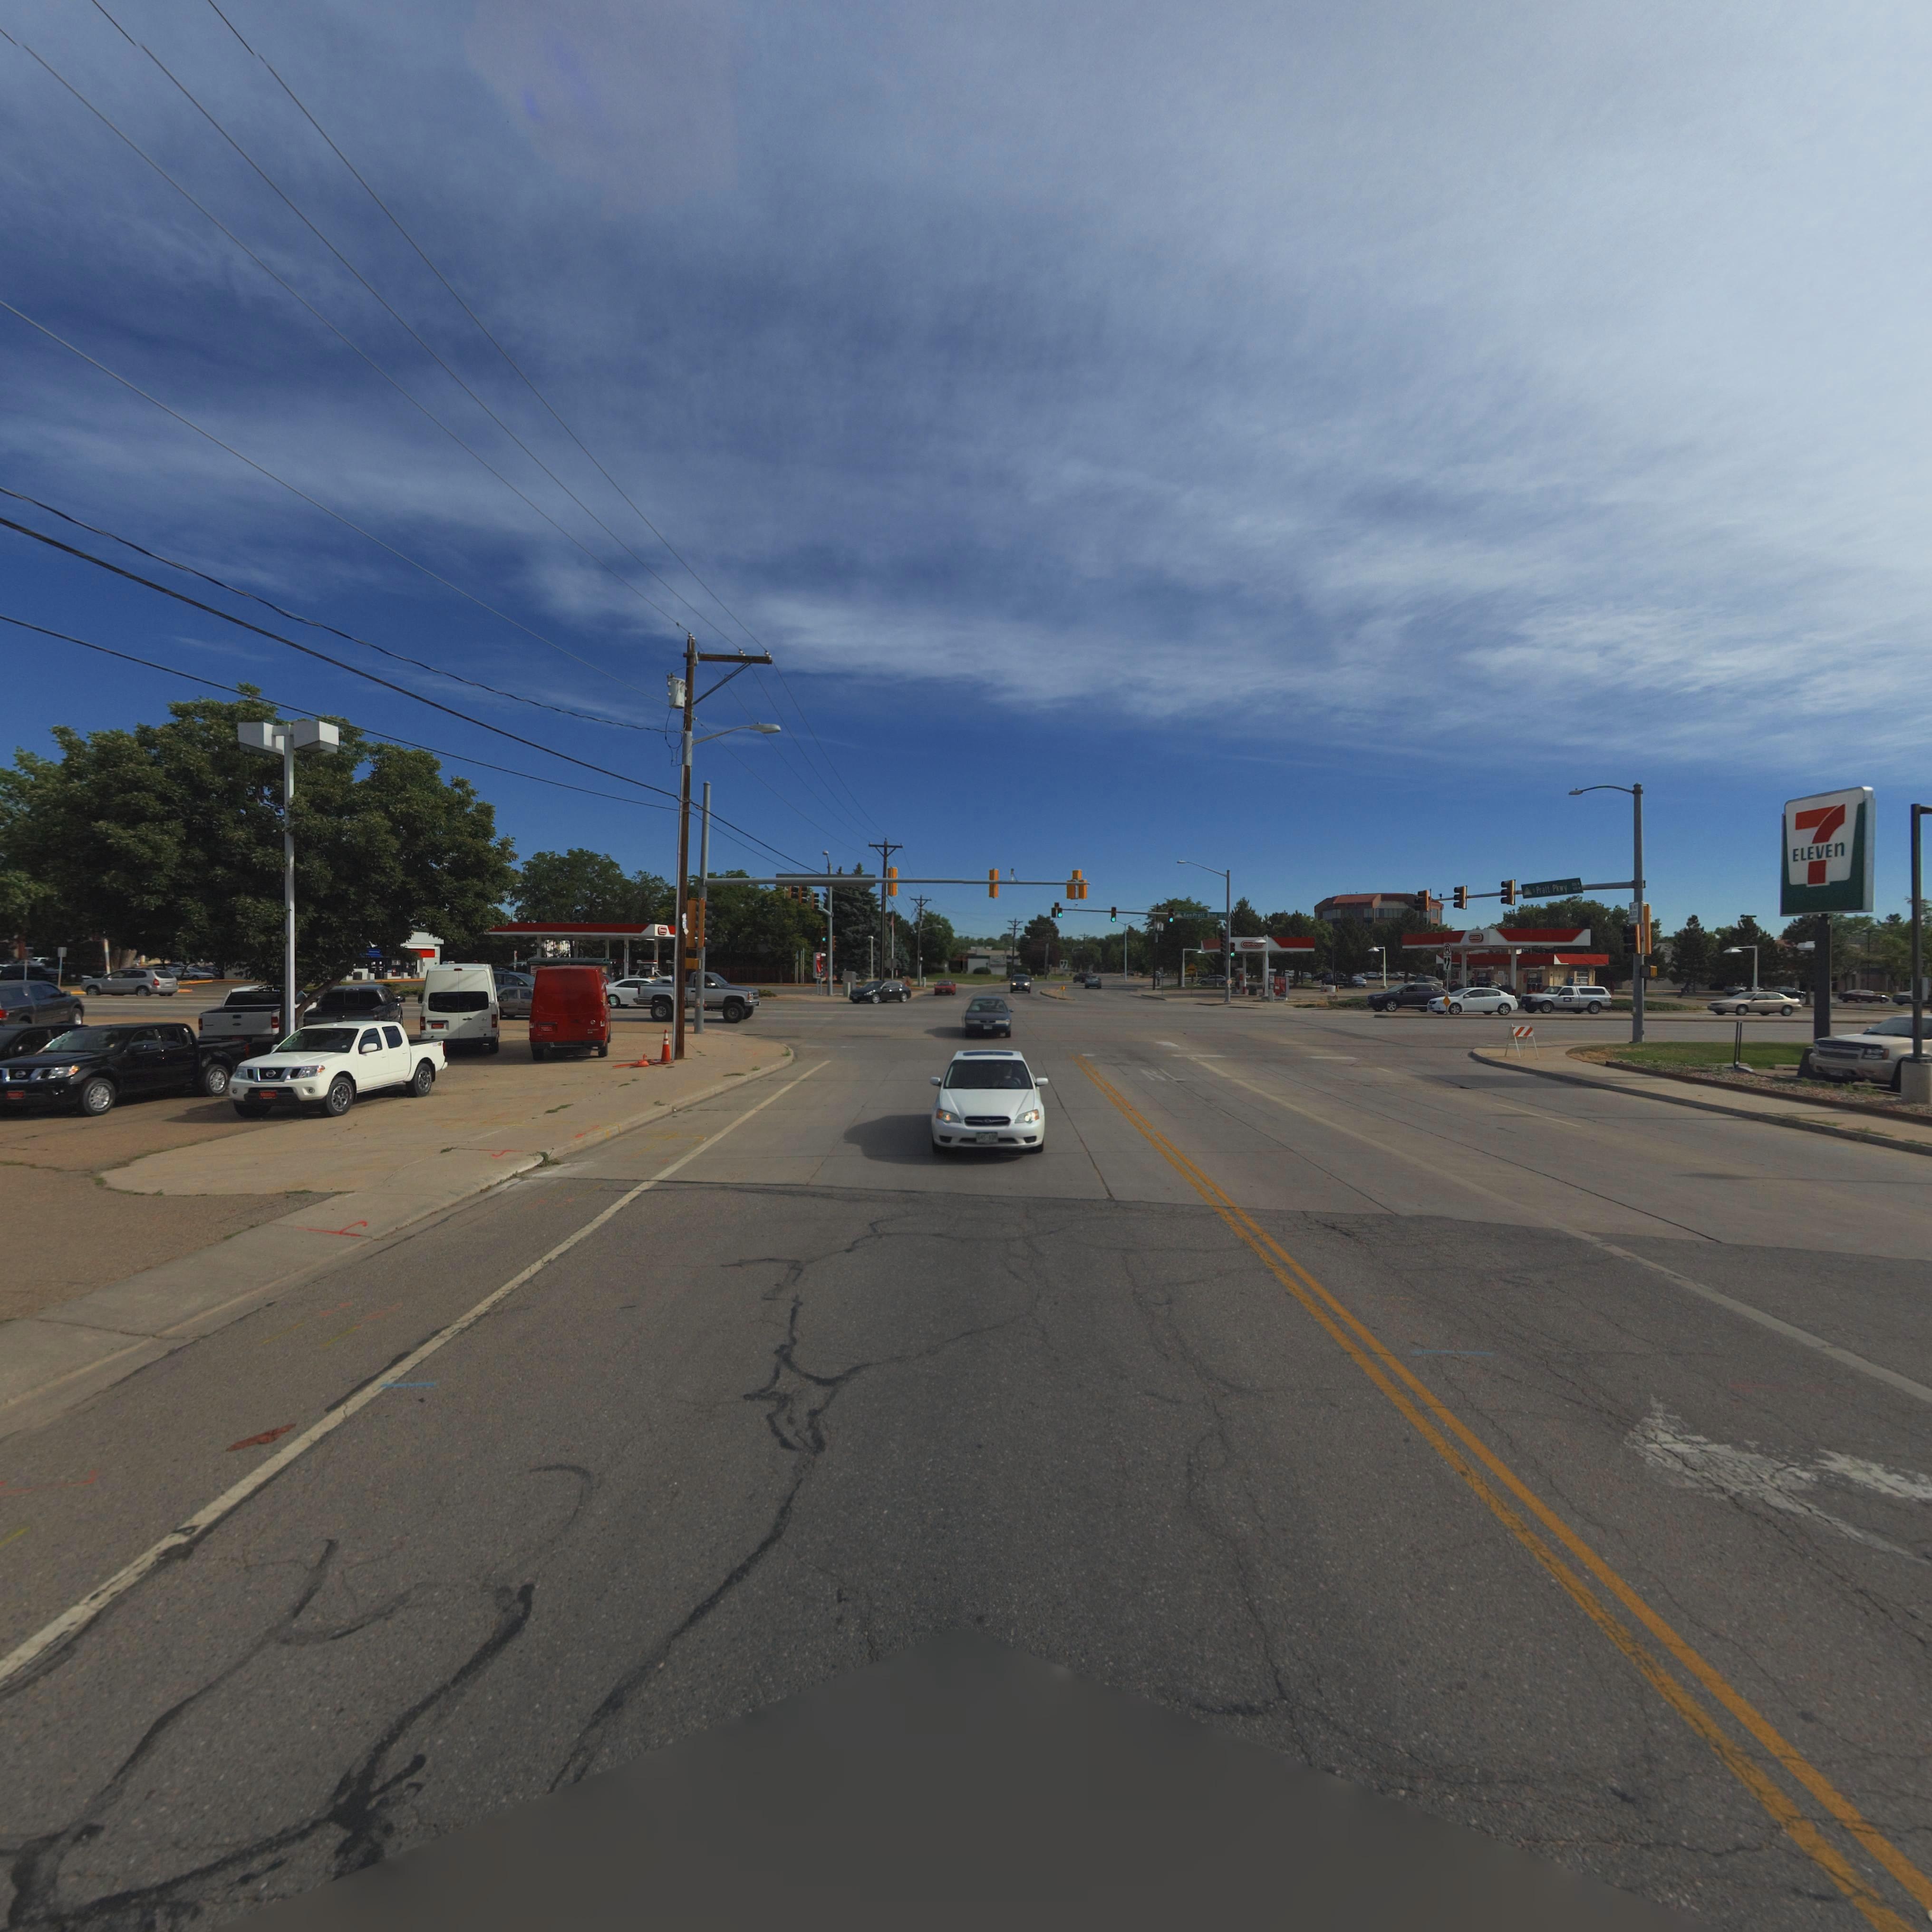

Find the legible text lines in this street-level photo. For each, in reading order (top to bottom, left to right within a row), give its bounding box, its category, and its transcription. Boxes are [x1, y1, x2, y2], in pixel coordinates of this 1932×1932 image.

[1794, 802, 1845, 885] BusinessName: 7
[1791, 841, 1845, 862] BusinessName: ELEVEN
[1533, 883, 1567, 894] StreetName: S Pratt Pkwy
[1182, 912, 1217, 918] StreetName: Ken Pratt Blvd
[659, 928, 667, 932] BusinessName: c*****
[1468, 935, 1480, 939] BusinessName: c*n**o
[1244, 942, 1262, 946] BusinessName: conoco